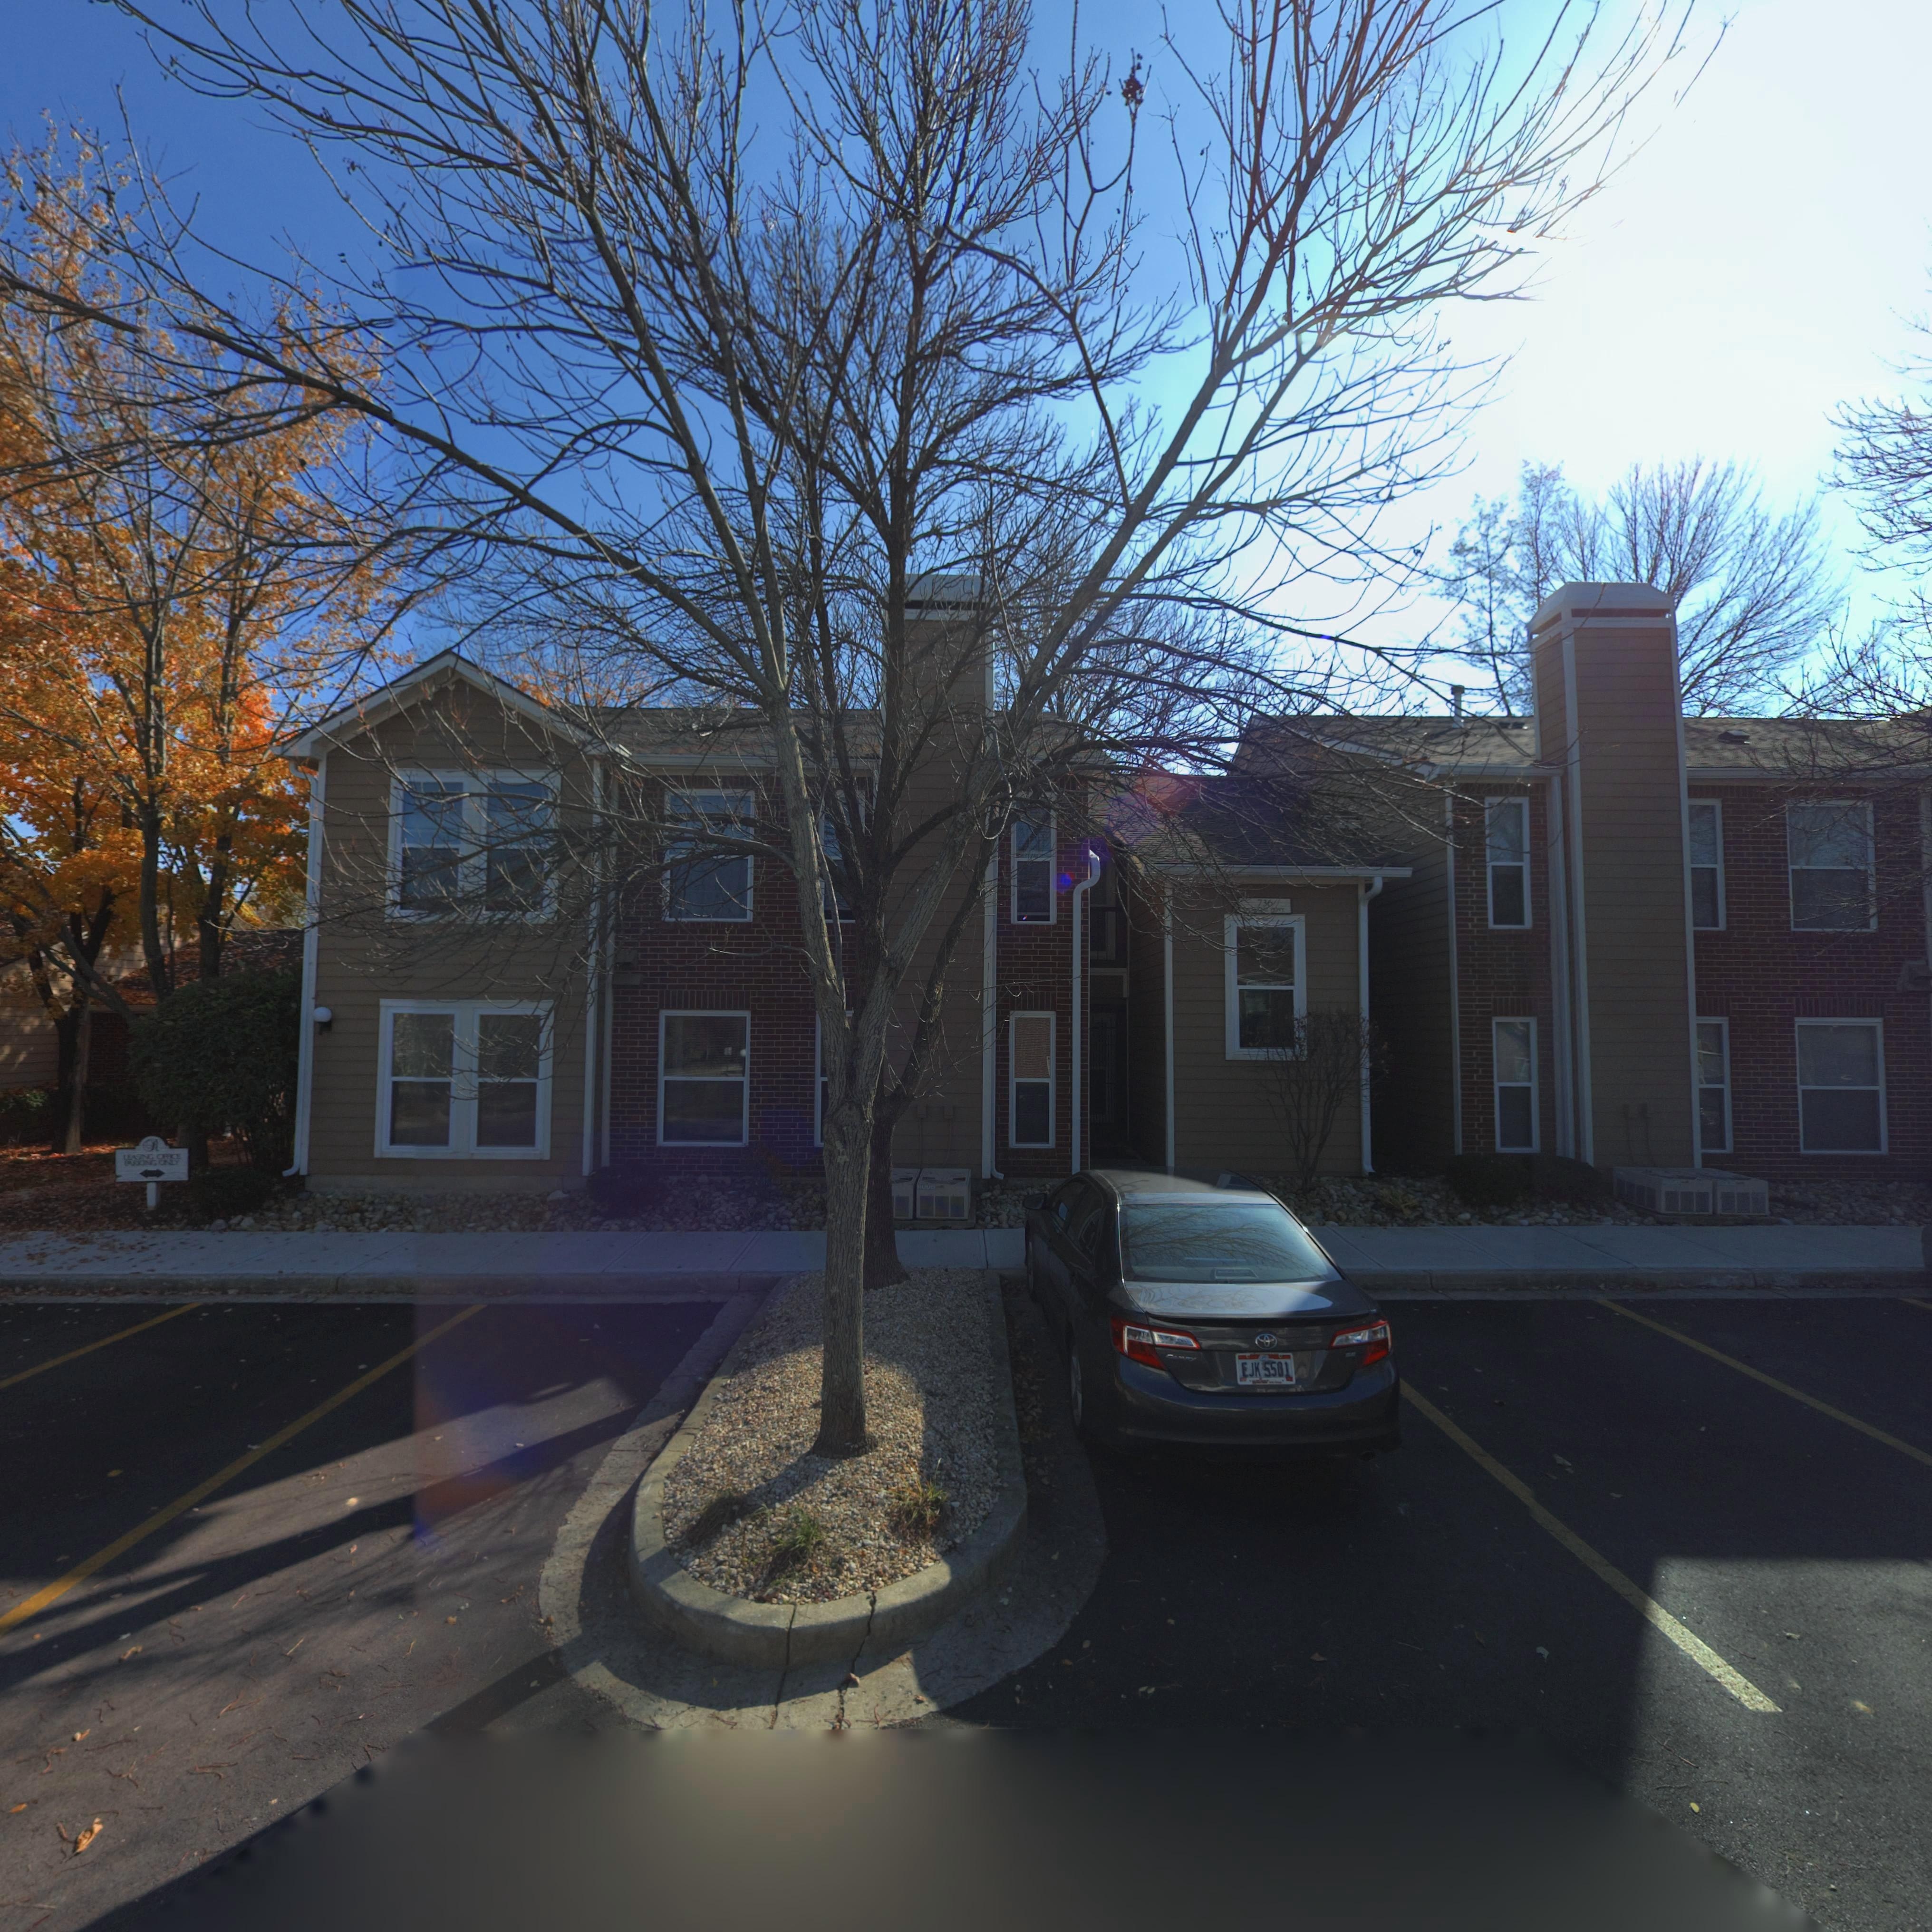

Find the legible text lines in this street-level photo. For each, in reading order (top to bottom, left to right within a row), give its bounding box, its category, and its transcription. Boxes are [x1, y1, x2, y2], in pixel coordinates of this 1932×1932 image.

[123, 1153, 182, 1159] None: LEASING OFFICE
[124, 1159, 179, 1166] None: PARKING ONLY
[1166, 1352, 1198, 1362] None: CAMRY
[1241, 1361, 1292, 1377] None: EJK 5501